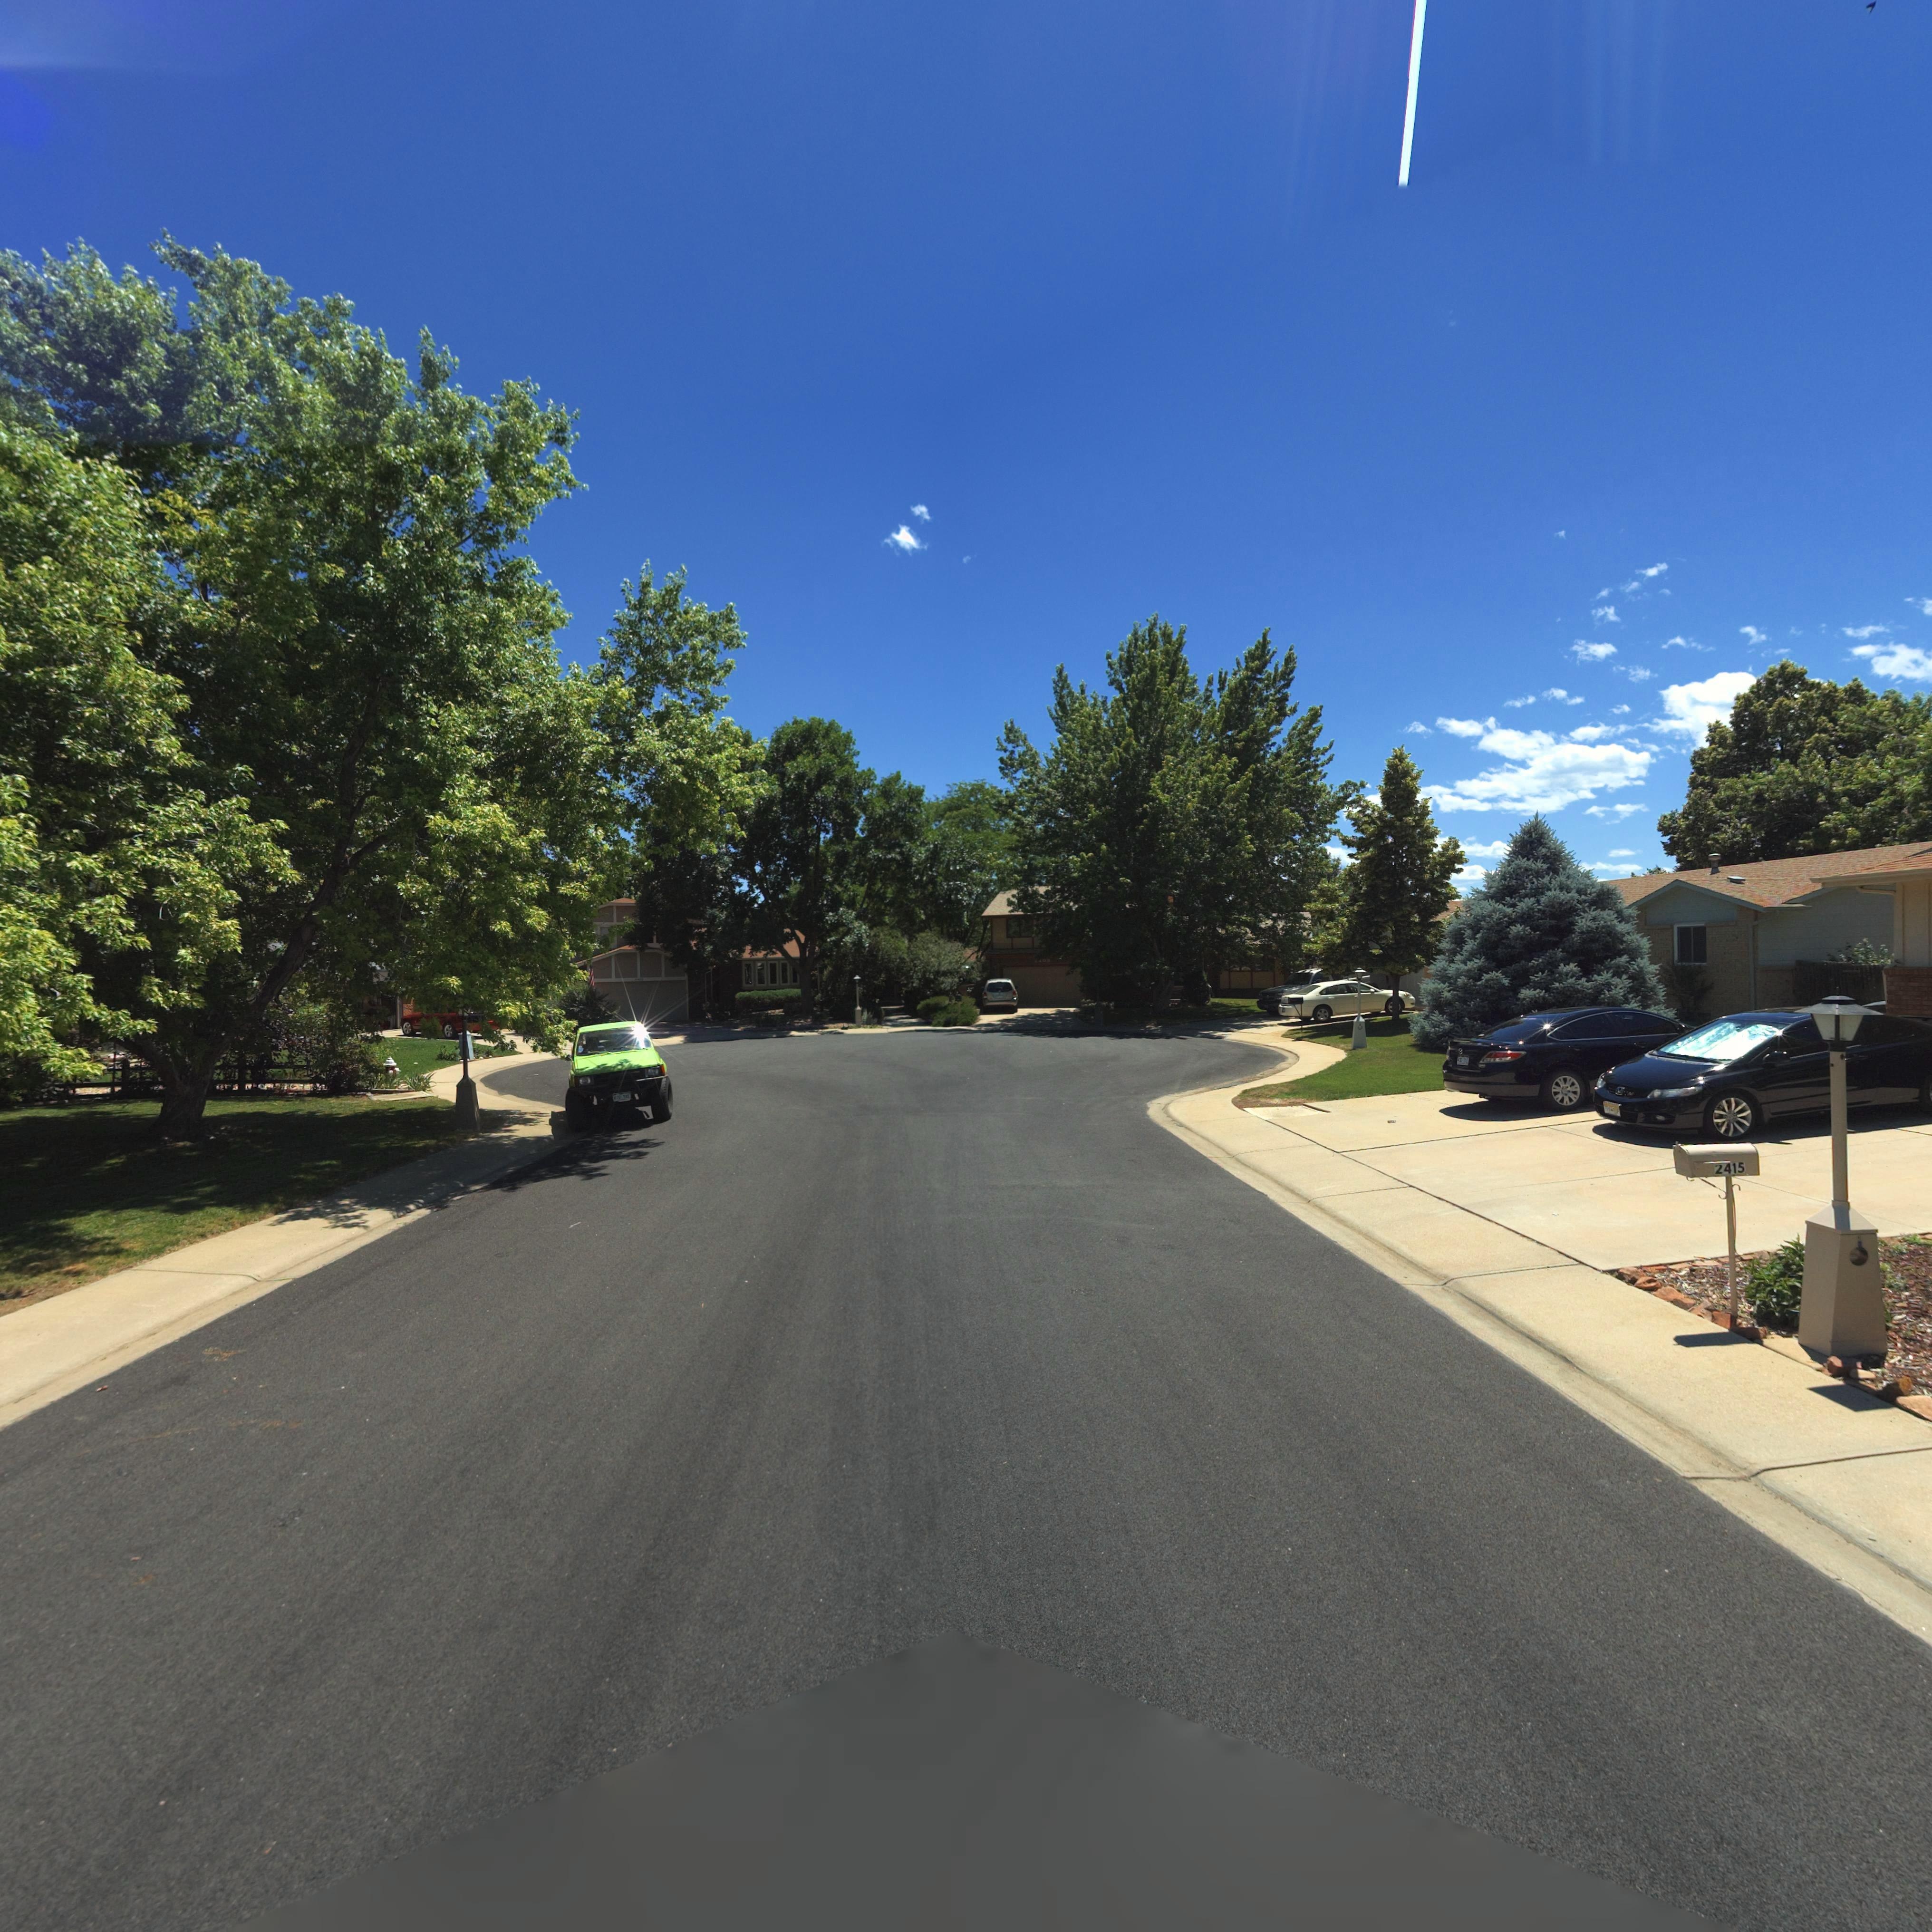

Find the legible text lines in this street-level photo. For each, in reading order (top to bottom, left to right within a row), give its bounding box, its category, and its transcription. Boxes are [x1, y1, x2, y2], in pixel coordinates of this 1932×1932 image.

[1034, 958, 1050, 963] StreetNumber: *40*
[1714, 1161, 1745, 1175] StreetNumber: 2415